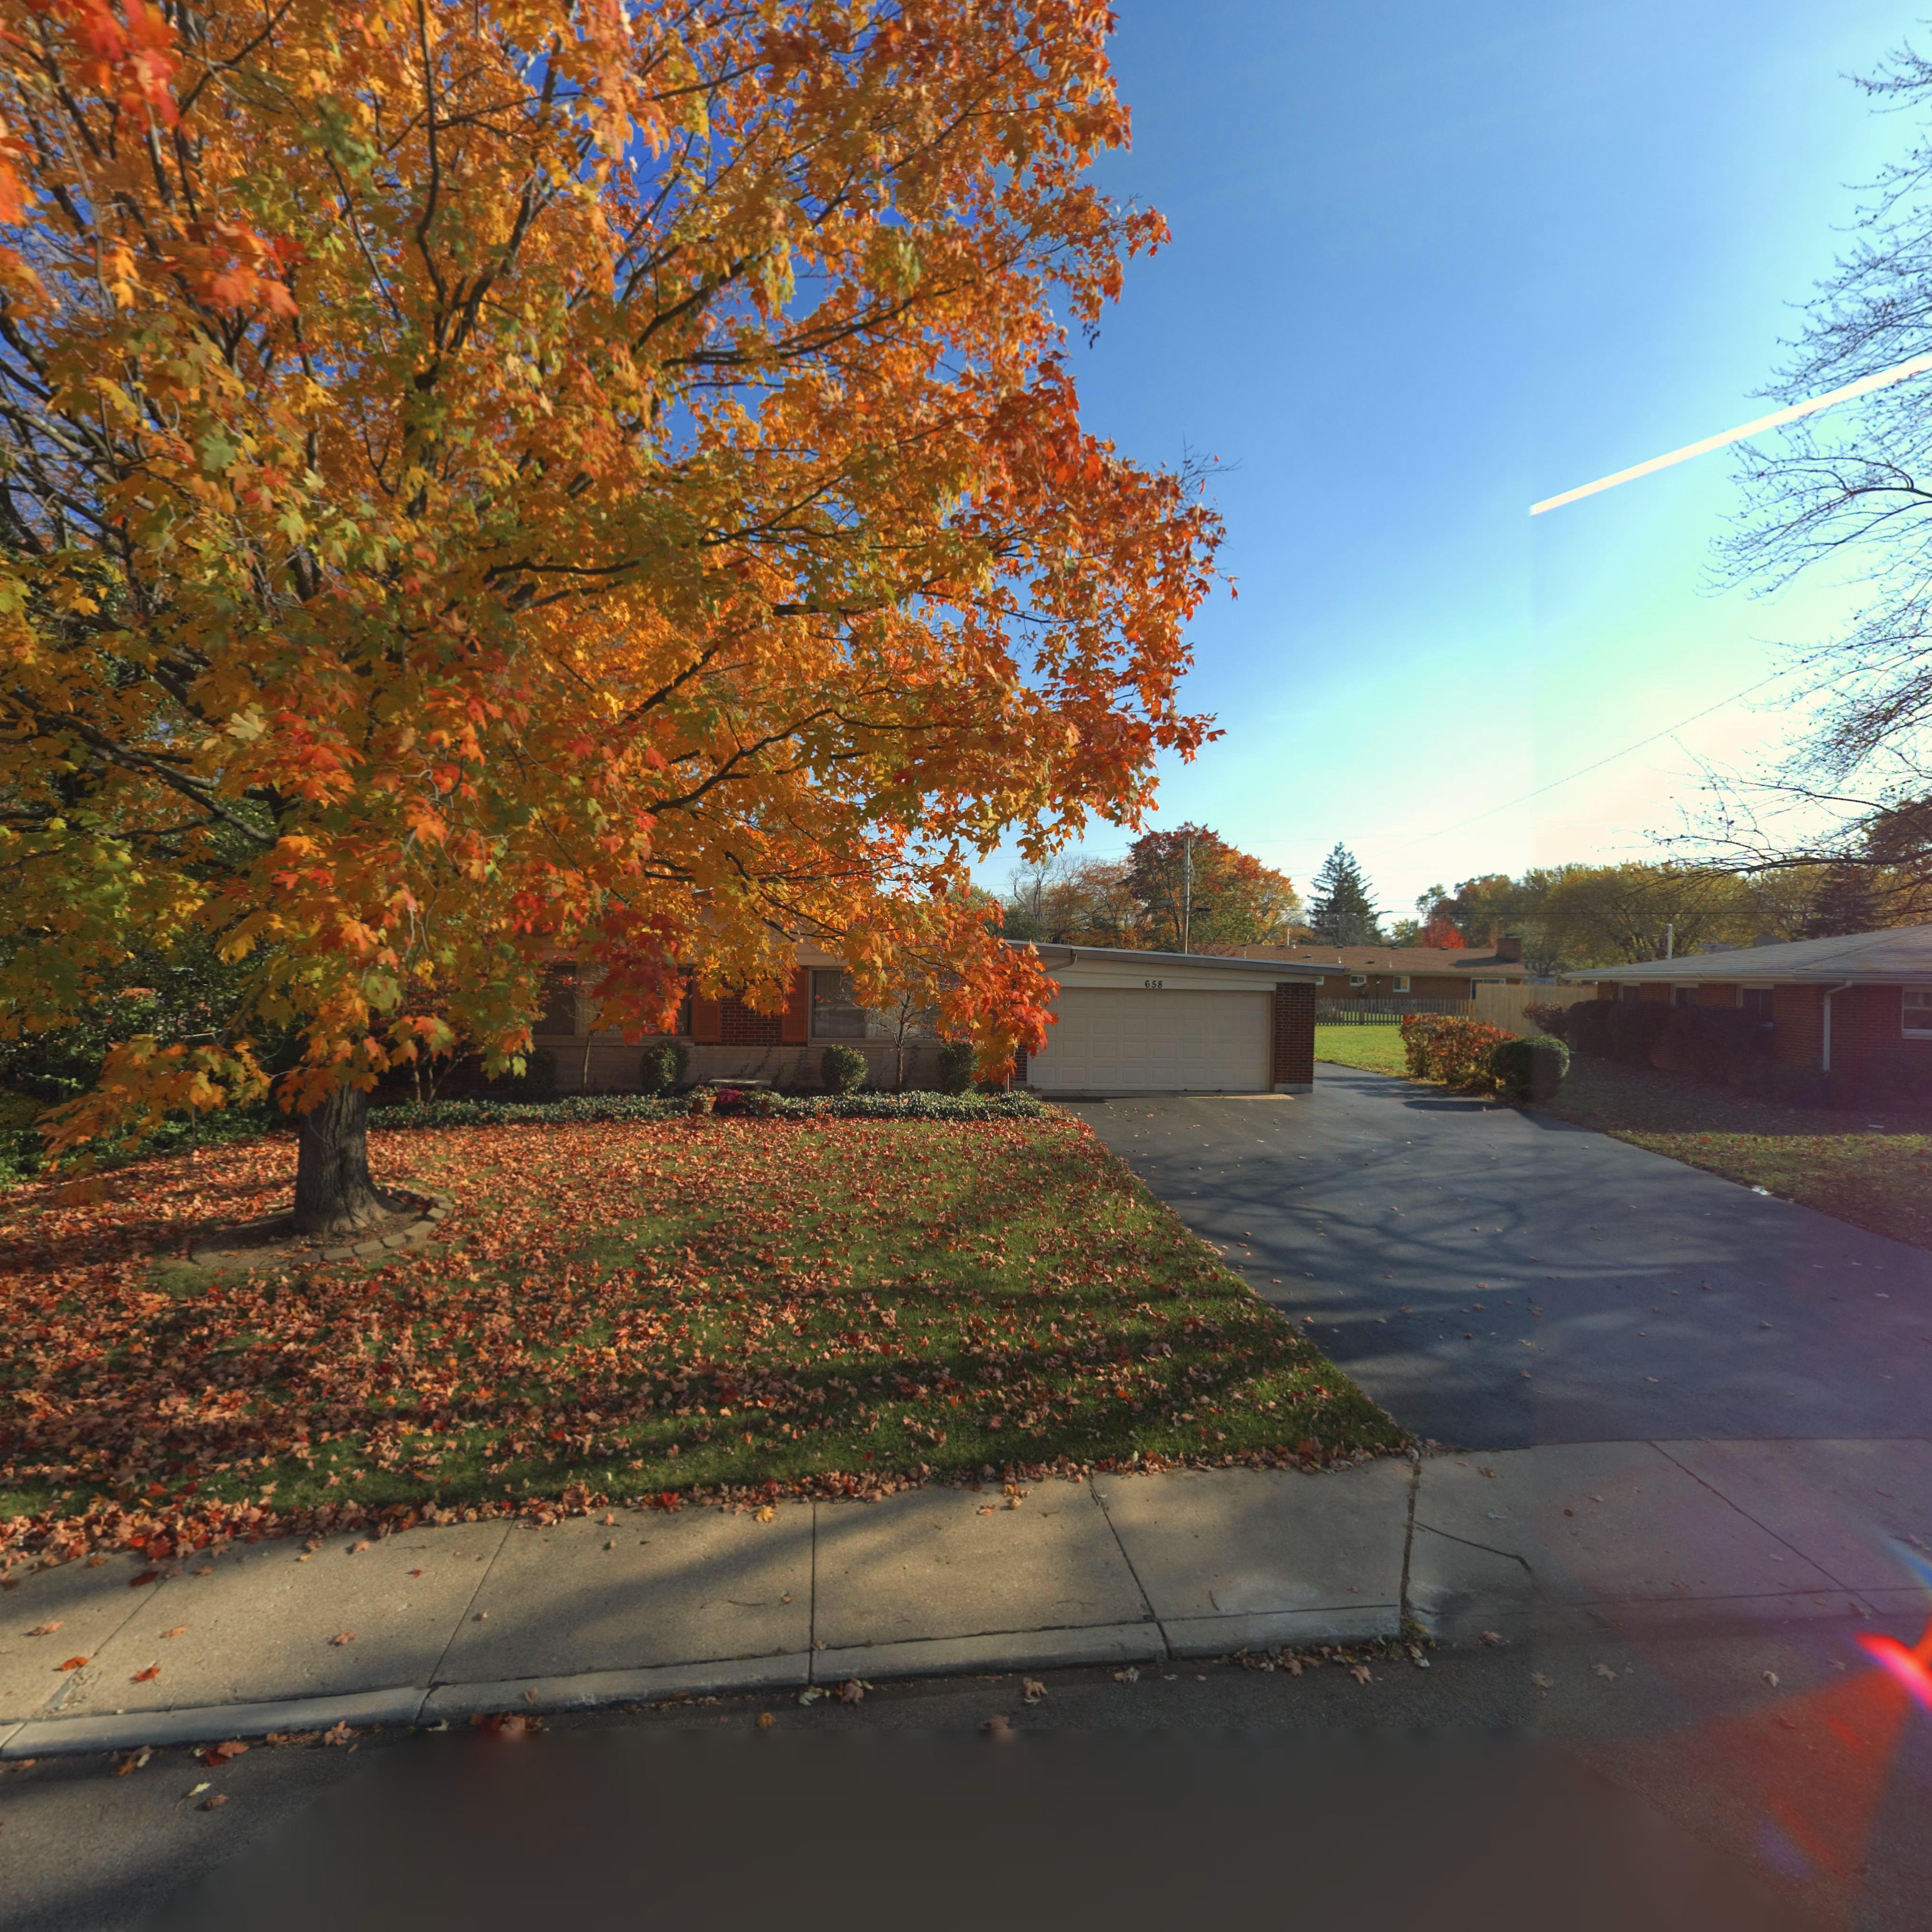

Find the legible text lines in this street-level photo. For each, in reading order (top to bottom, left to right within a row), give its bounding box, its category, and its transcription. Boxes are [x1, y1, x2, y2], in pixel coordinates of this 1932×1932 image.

[1144, 979, 1163, 988] StreetNumber: 658